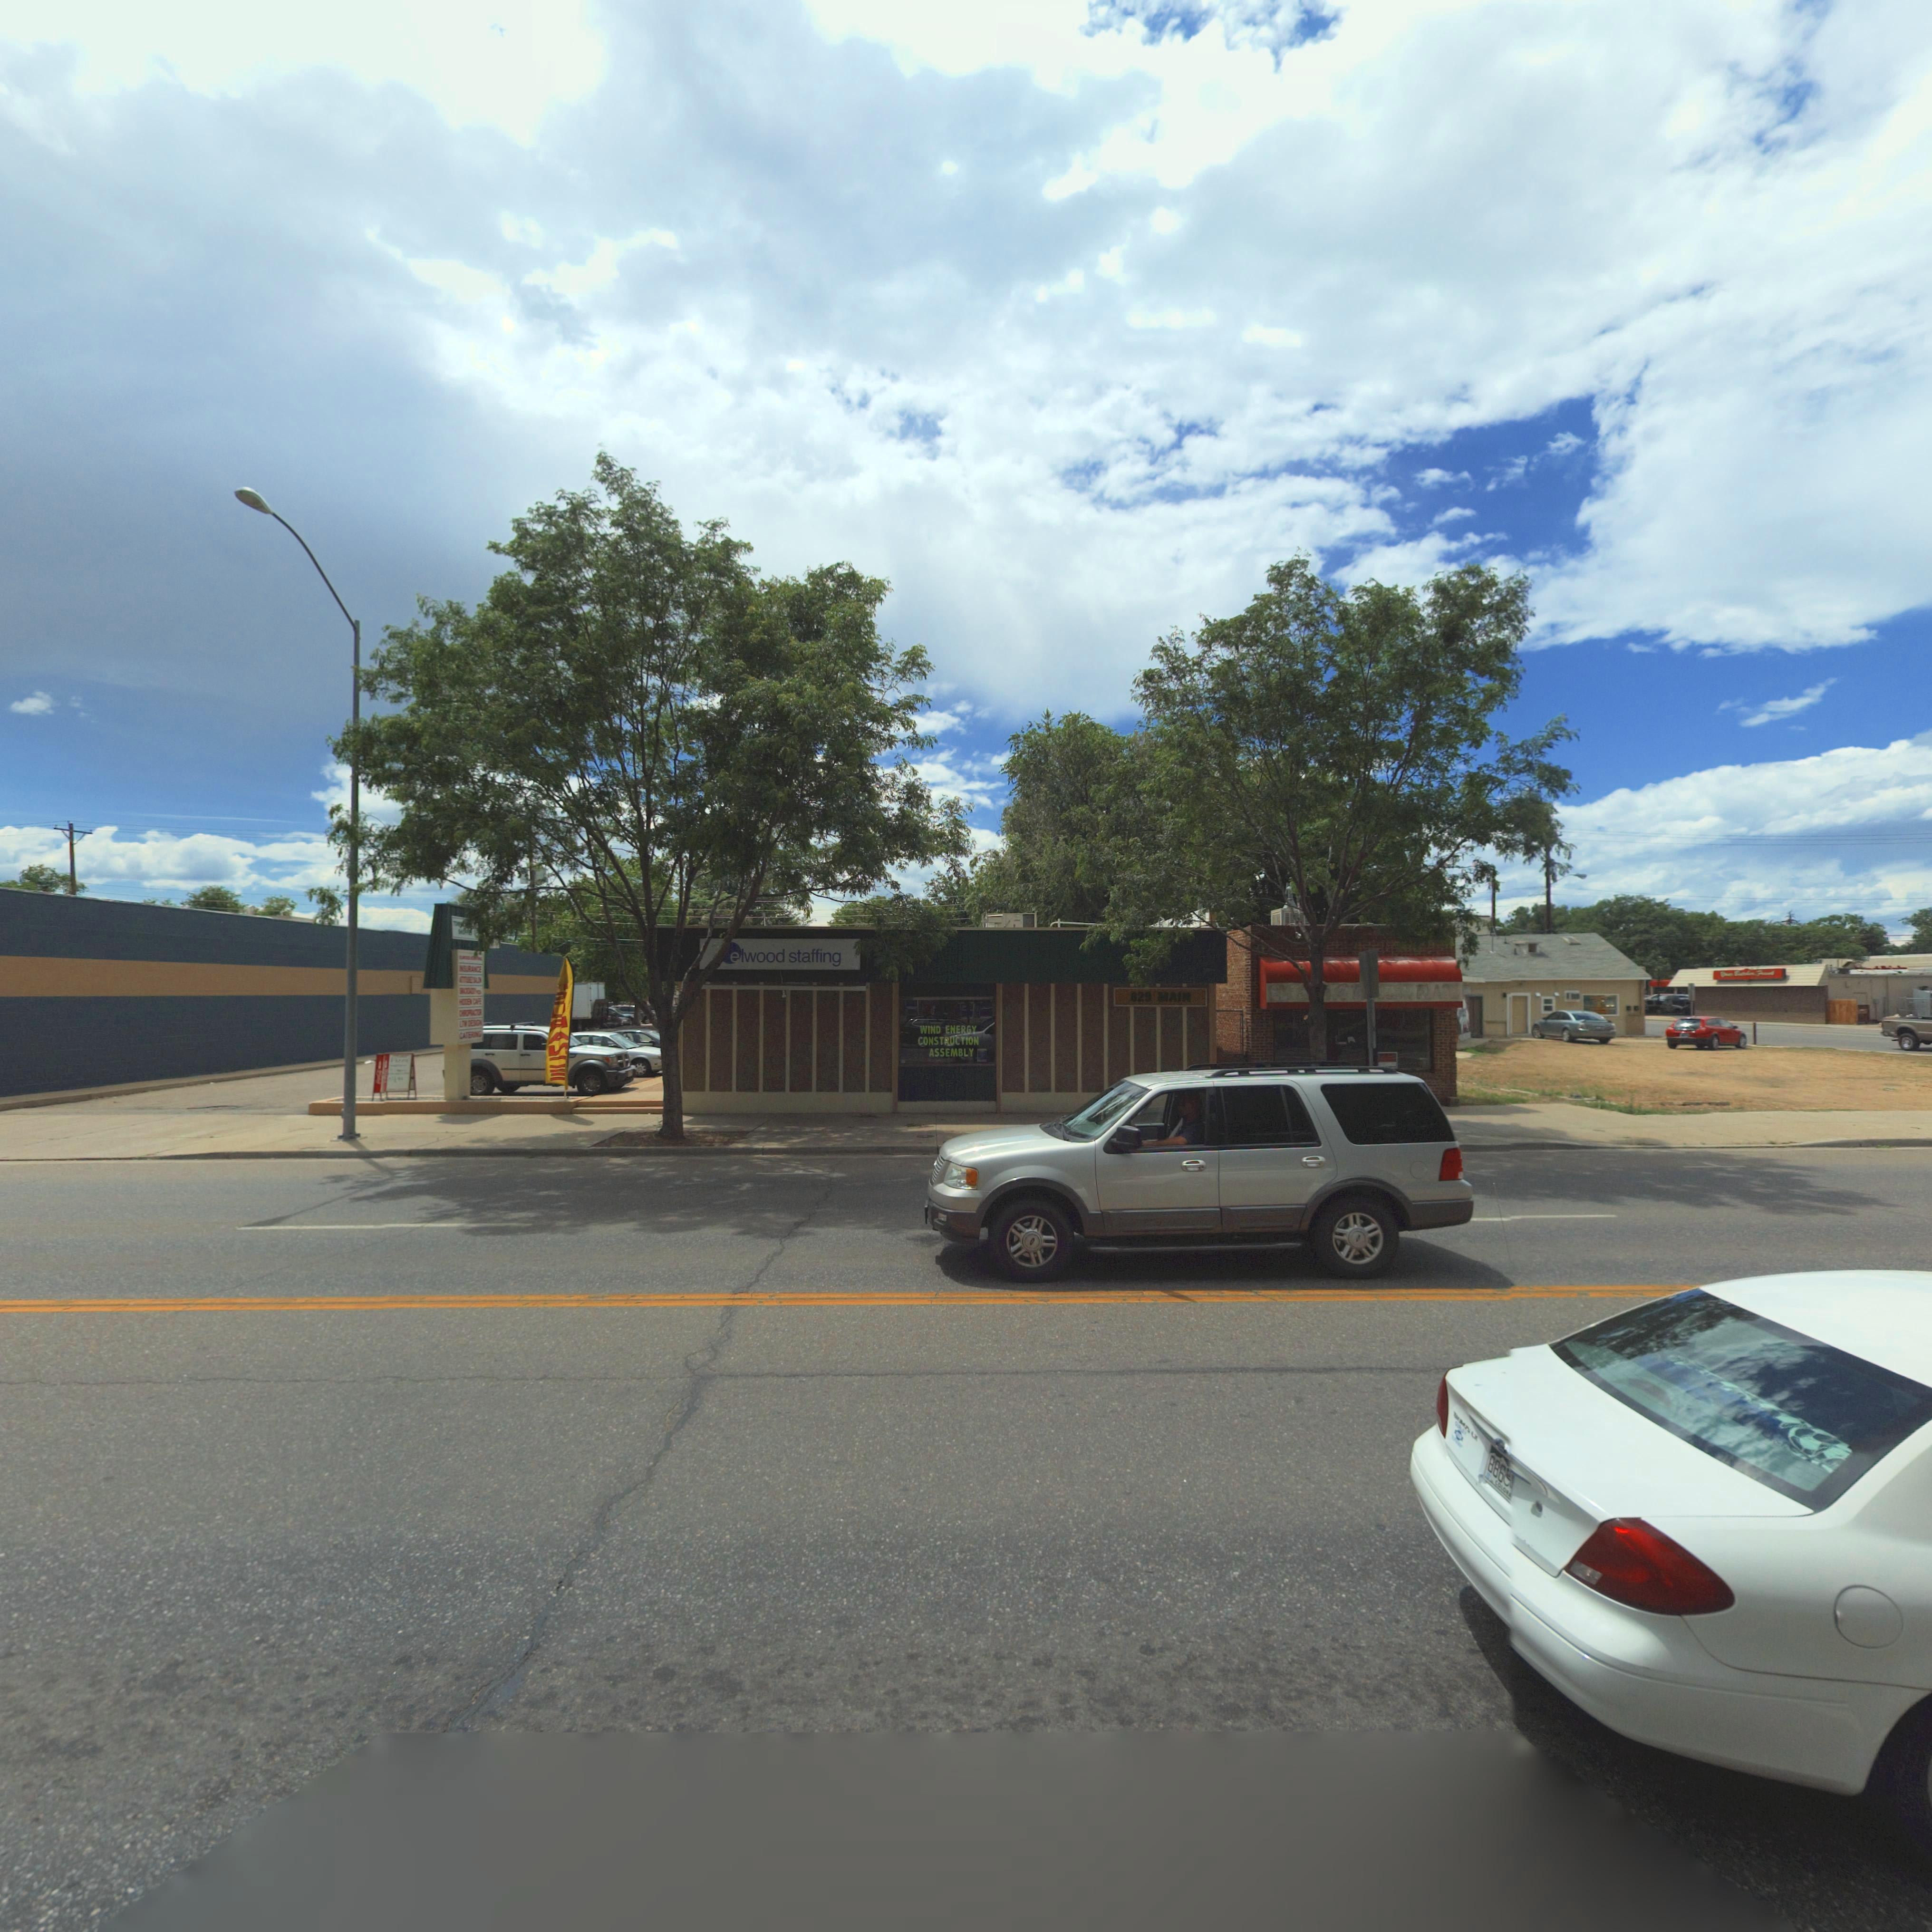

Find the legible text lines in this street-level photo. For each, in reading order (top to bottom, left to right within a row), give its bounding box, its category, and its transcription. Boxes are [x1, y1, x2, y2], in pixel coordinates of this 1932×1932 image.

[730, 948, 841, 966] BusinessName: elwood staffing
[459, 997, 482, 1005] BusinessName: HIDDEN CAFE
[1130, 991, 1152, 1002] StreetNumber: 629
[1158, 992, 1191, 1002] StreetName: MAIN
[459, 1019, 482, 1027] BusinessName: LTW DESIGN